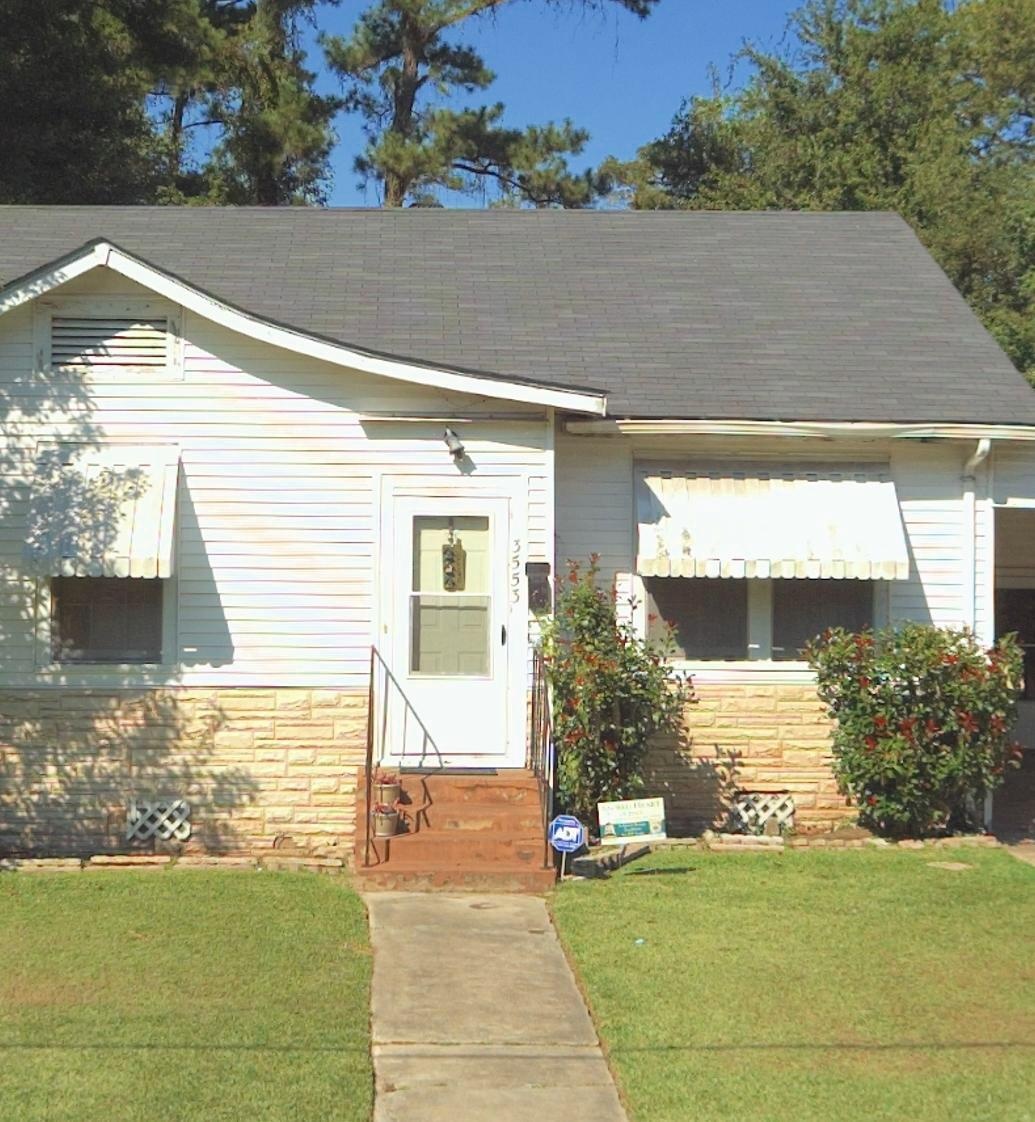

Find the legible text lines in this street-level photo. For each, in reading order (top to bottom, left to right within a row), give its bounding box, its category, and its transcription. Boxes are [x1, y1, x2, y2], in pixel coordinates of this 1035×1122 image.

[510, 538, 521, 604] StreetNumber: 3553
[550, 825, 581, 844] None: ADT